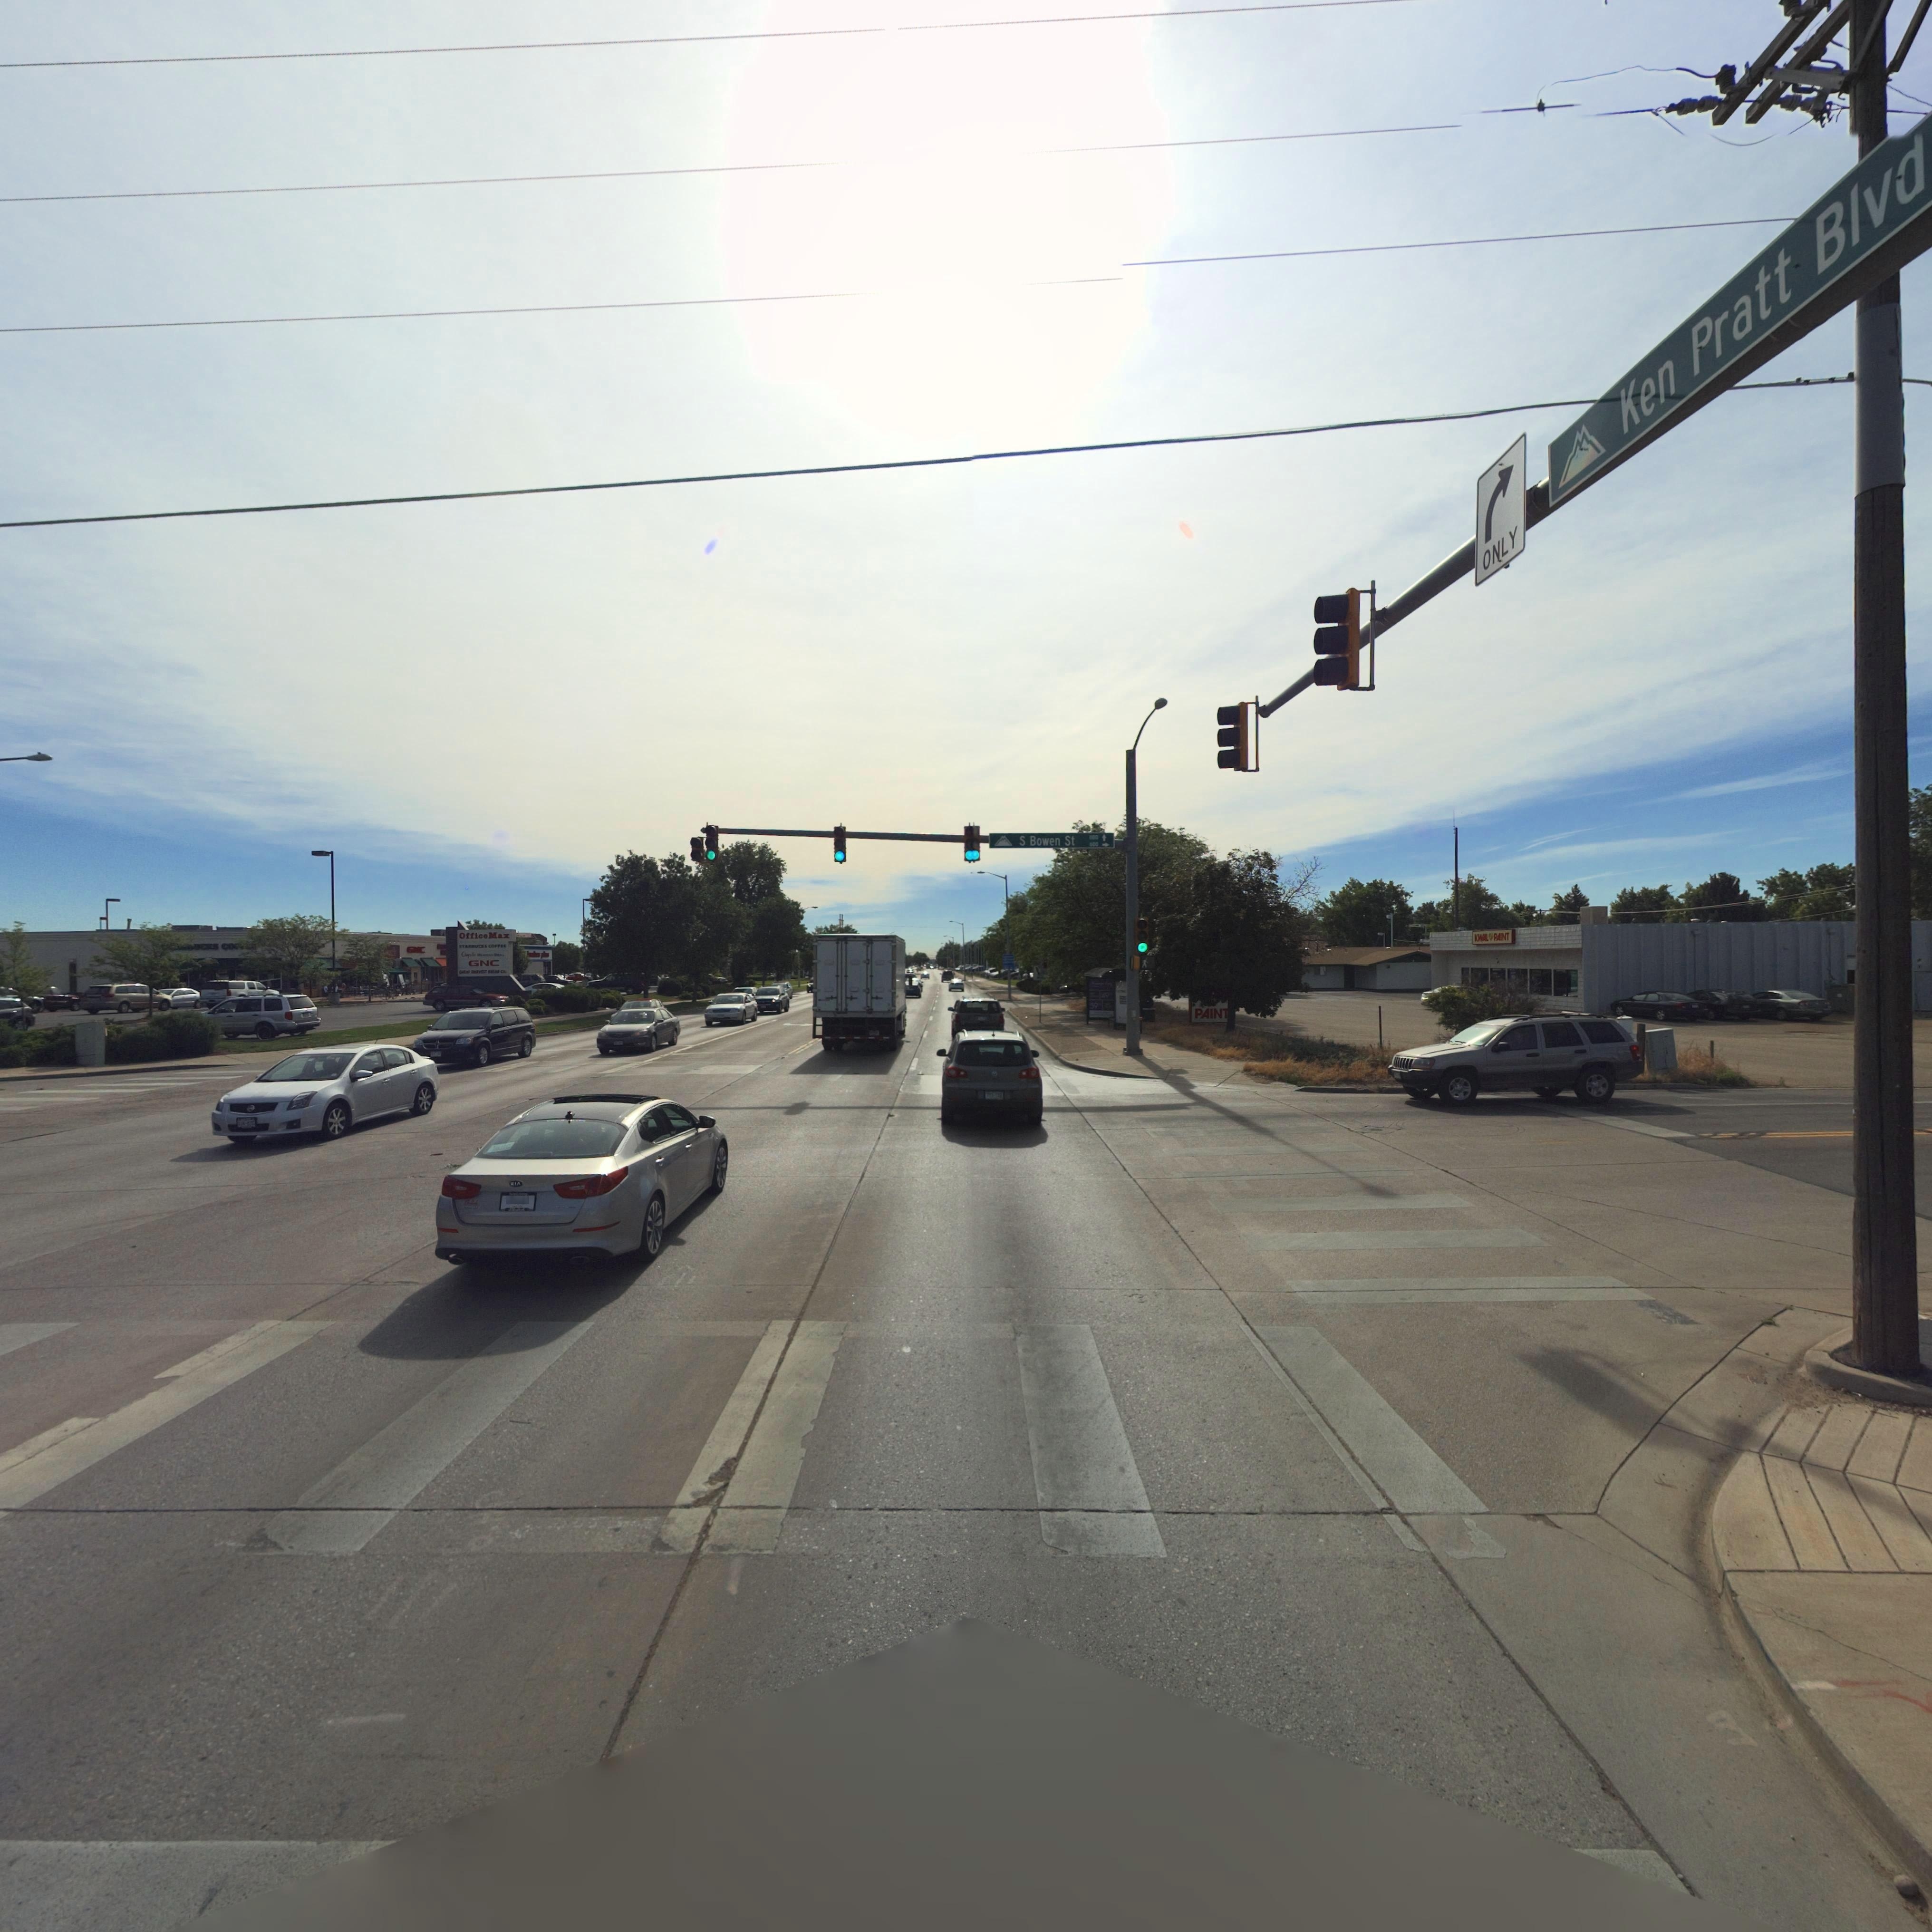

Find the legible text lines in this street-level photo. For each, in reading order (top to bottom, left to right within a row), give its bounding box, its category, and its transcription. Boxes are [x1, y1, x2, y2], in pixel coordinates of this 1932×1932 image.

[1617, 125, 1928, 439] StreetName: Ken Pratt Blvd
[1019, 835, 1075, 846] StreetName: S Bowen St
[1089, 834, 1099, 840] StreetNumberRange: 1*00
[1089, 841, 1110, 847] StreetNumberRange: 600->
[458, 931, 510, 939] BusinessName: officeMax
[1474, 932, 1509, 942] BusinessName: KWAL * PAINT
[406, 946, 425, 953] BusinessName: G*C
[458, 944, 507, 948] BusinessName: STA***C** COFF**
[460, 950, 505, 958] BusinessName: Chipotle Mexican Grill
[526, 950, 549, 958] BusinessName: b***** pl*s
[468, 960, 500, 966] BusinessName: GNC
[458, 969, 507, 974] BusinessName: G**** H****ST ****** CO.
[1194, 1008, 1228, 1019] BusinessName: PAINT